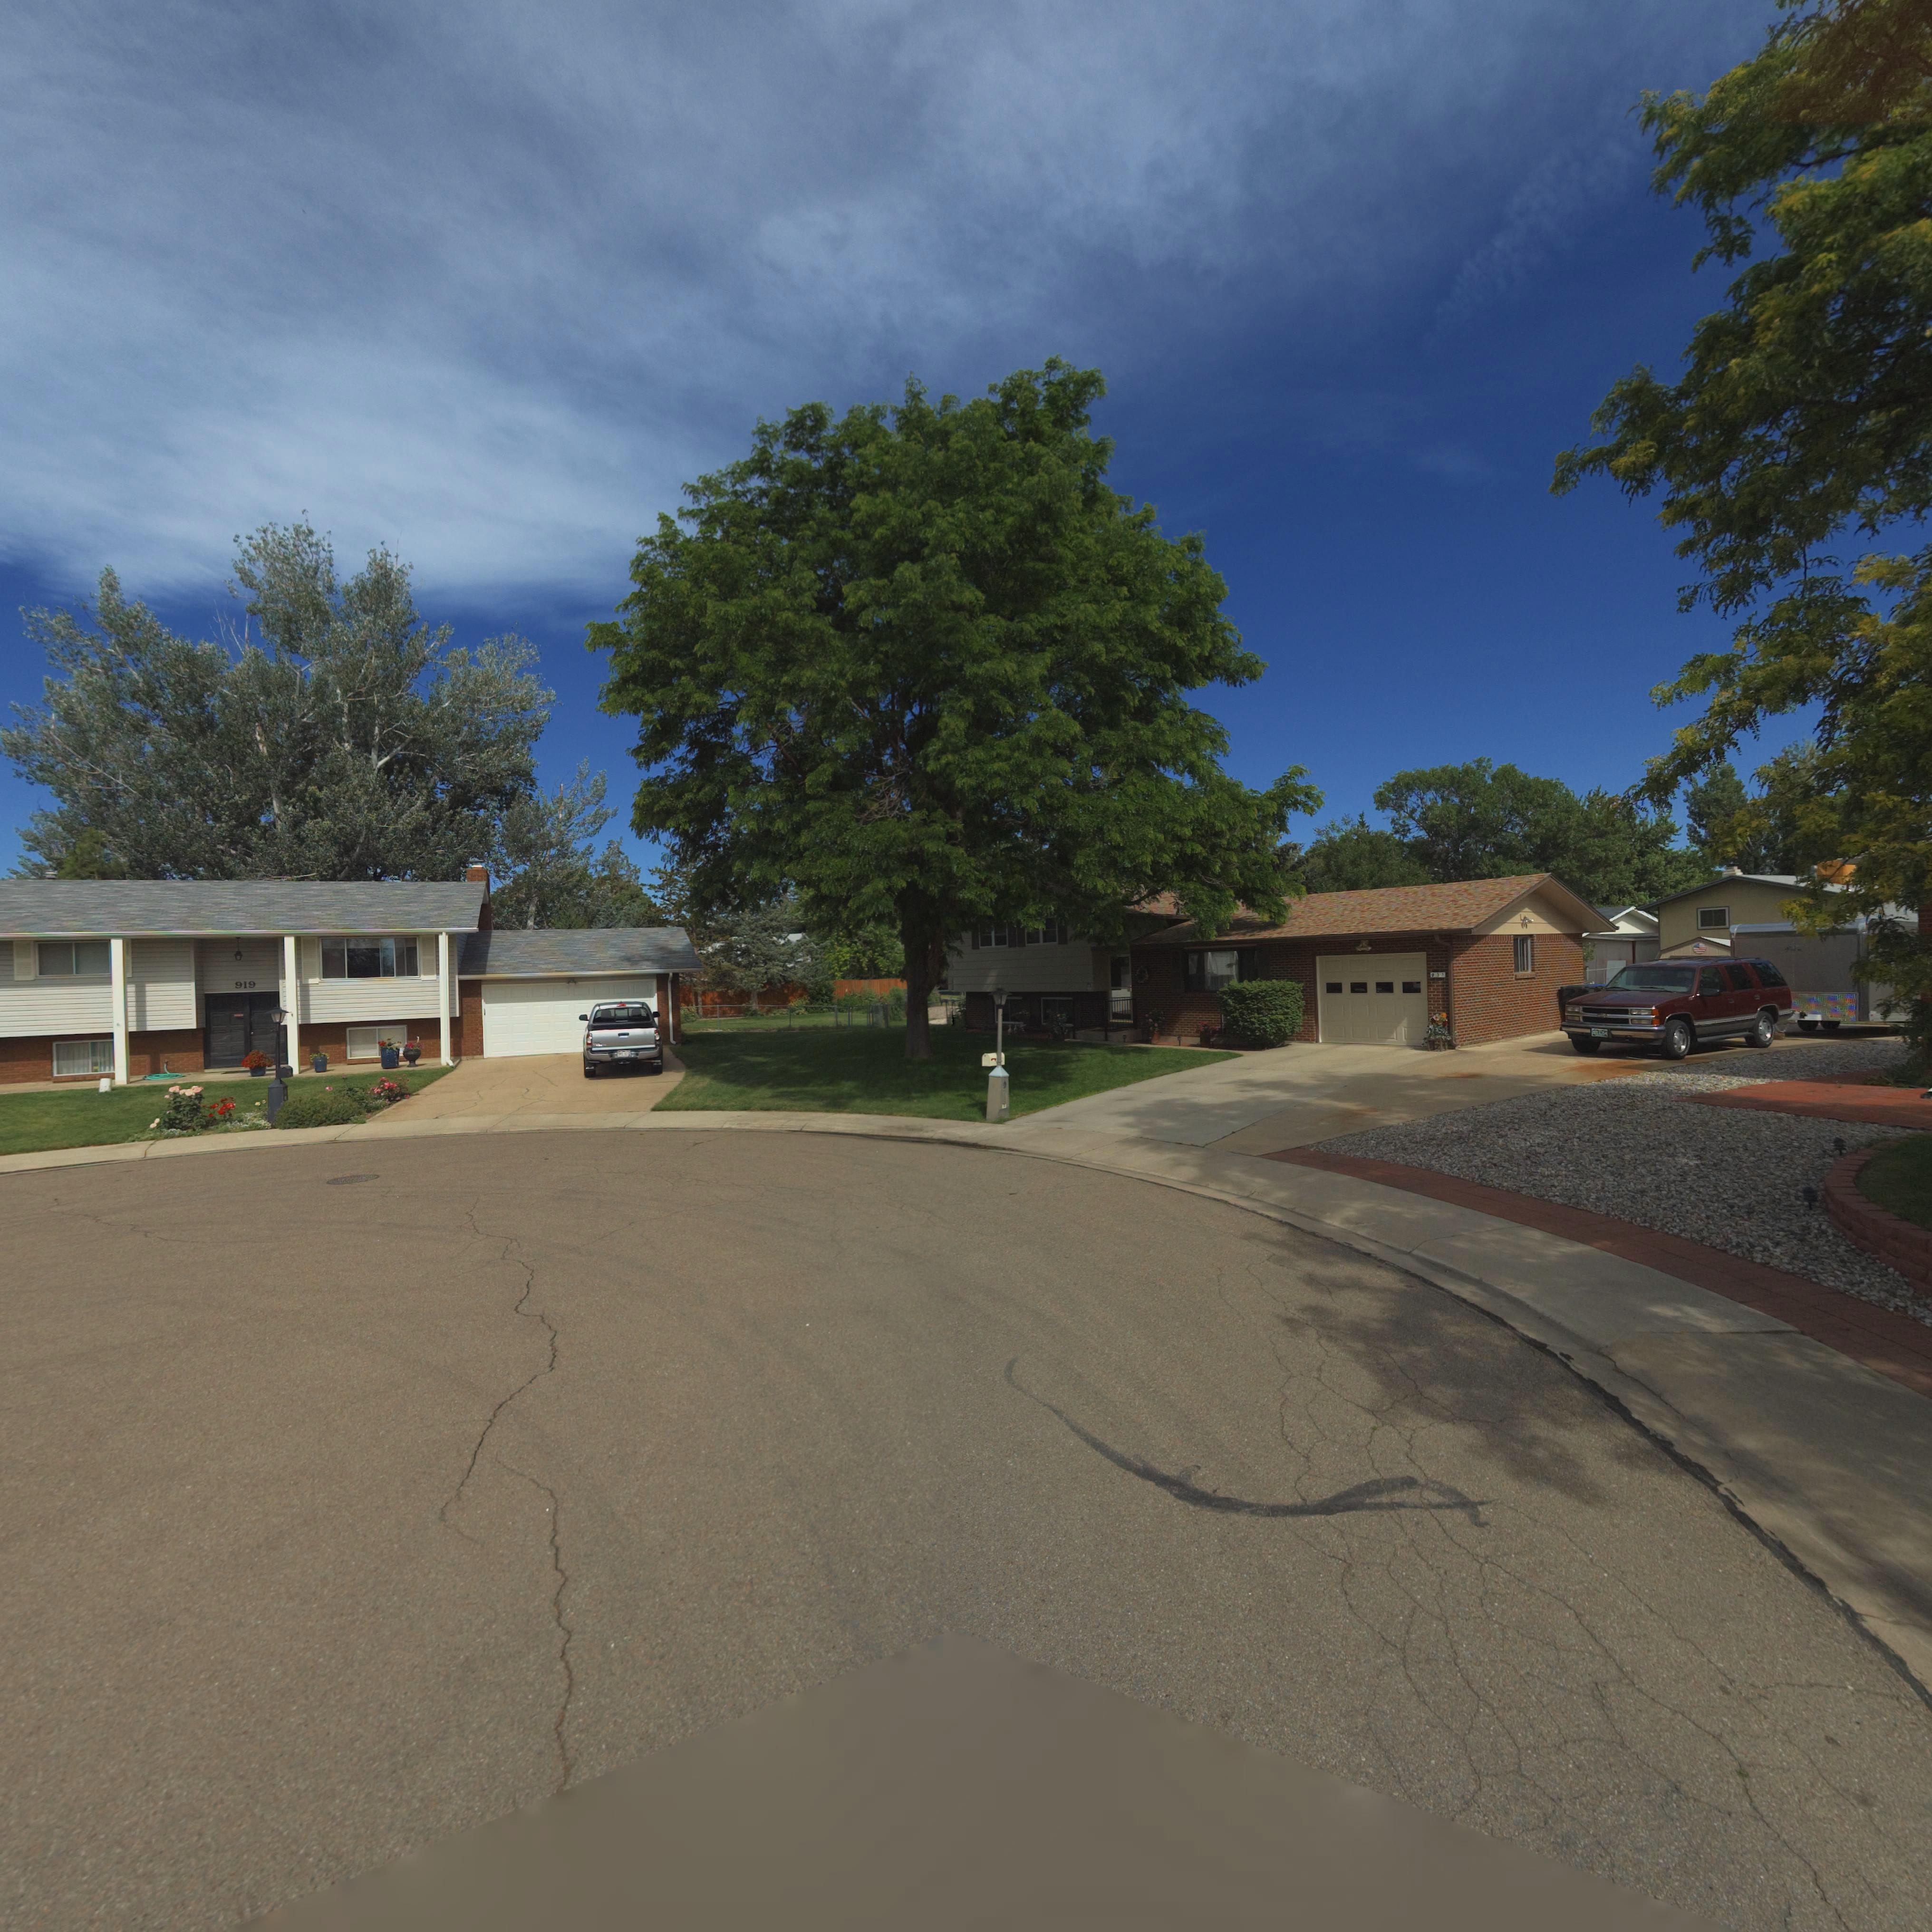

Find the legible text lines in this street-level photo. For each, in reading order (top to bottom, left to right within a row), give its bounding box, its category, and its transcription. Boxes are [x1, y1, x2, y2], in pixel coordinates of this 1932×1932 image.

[1431, 972, 1444, 976] StreetNumber: 9**
[234, 980, 256, 988] StreetNumber: 919